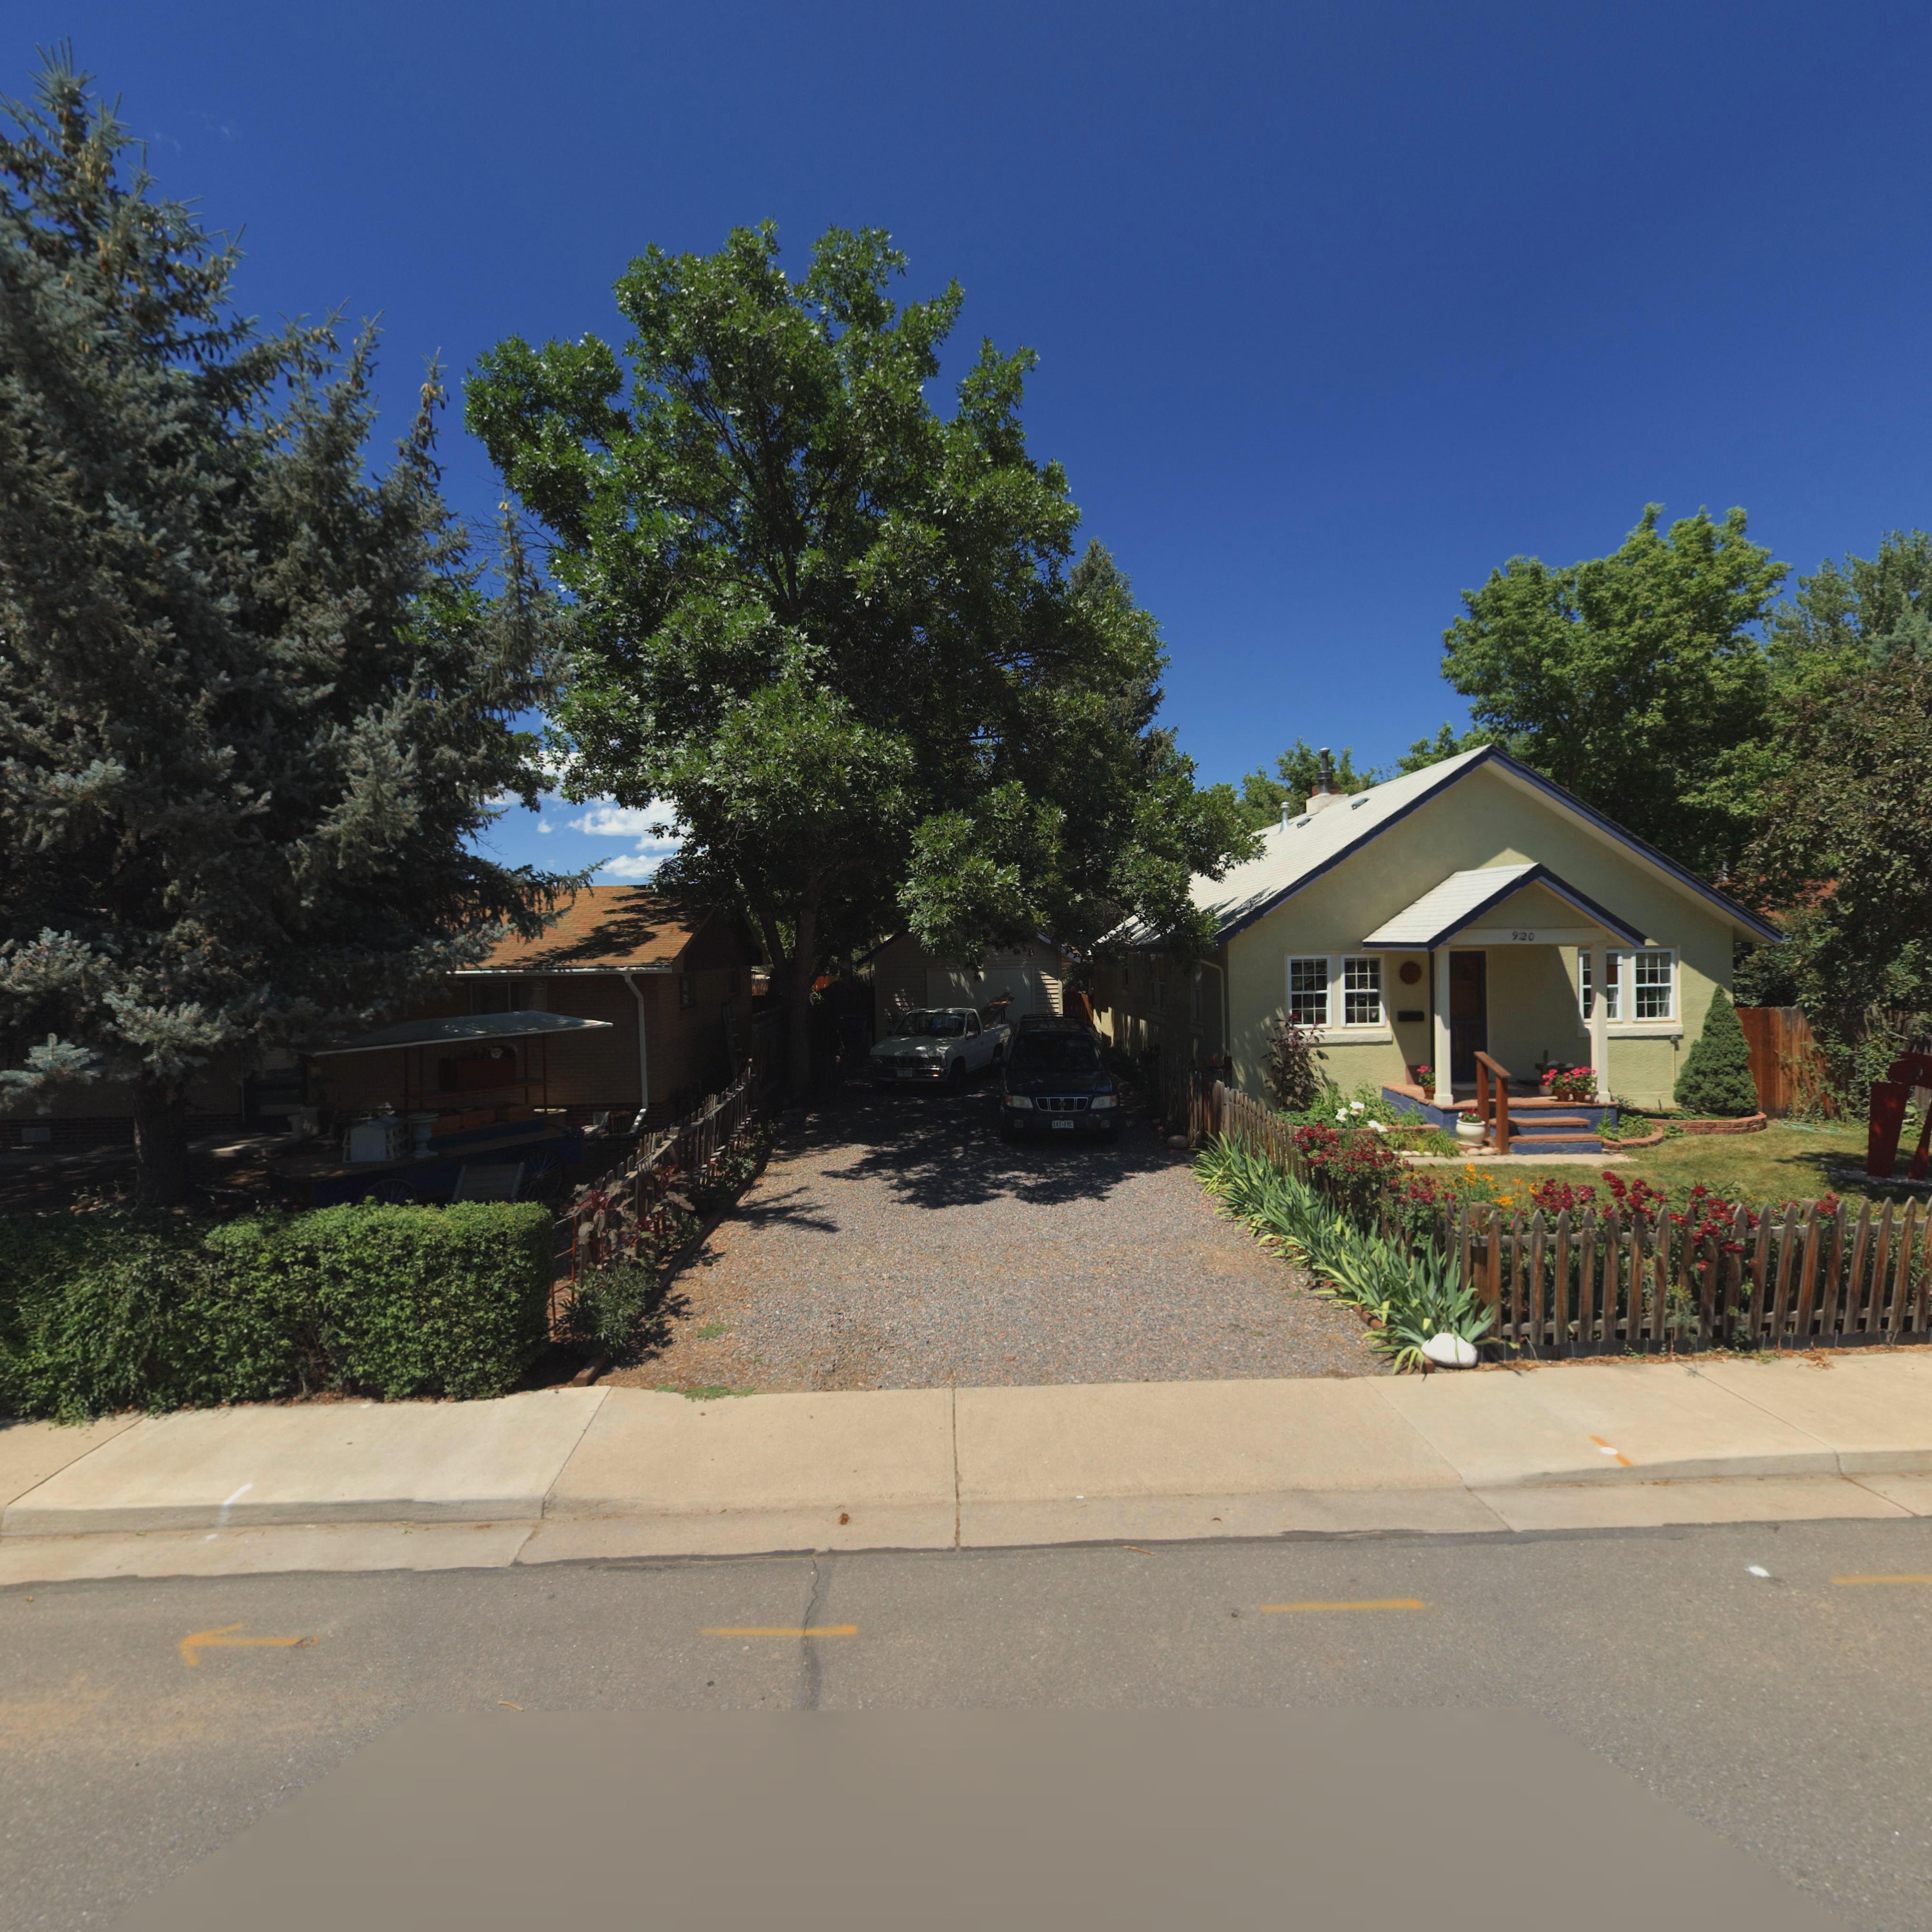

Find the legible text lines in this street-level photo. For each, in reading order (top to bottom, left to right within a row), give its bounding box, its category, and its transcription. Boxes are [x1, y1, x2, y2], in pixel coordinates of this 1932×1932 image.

[1511, 931, 1535, 941] StreetNumber: 920